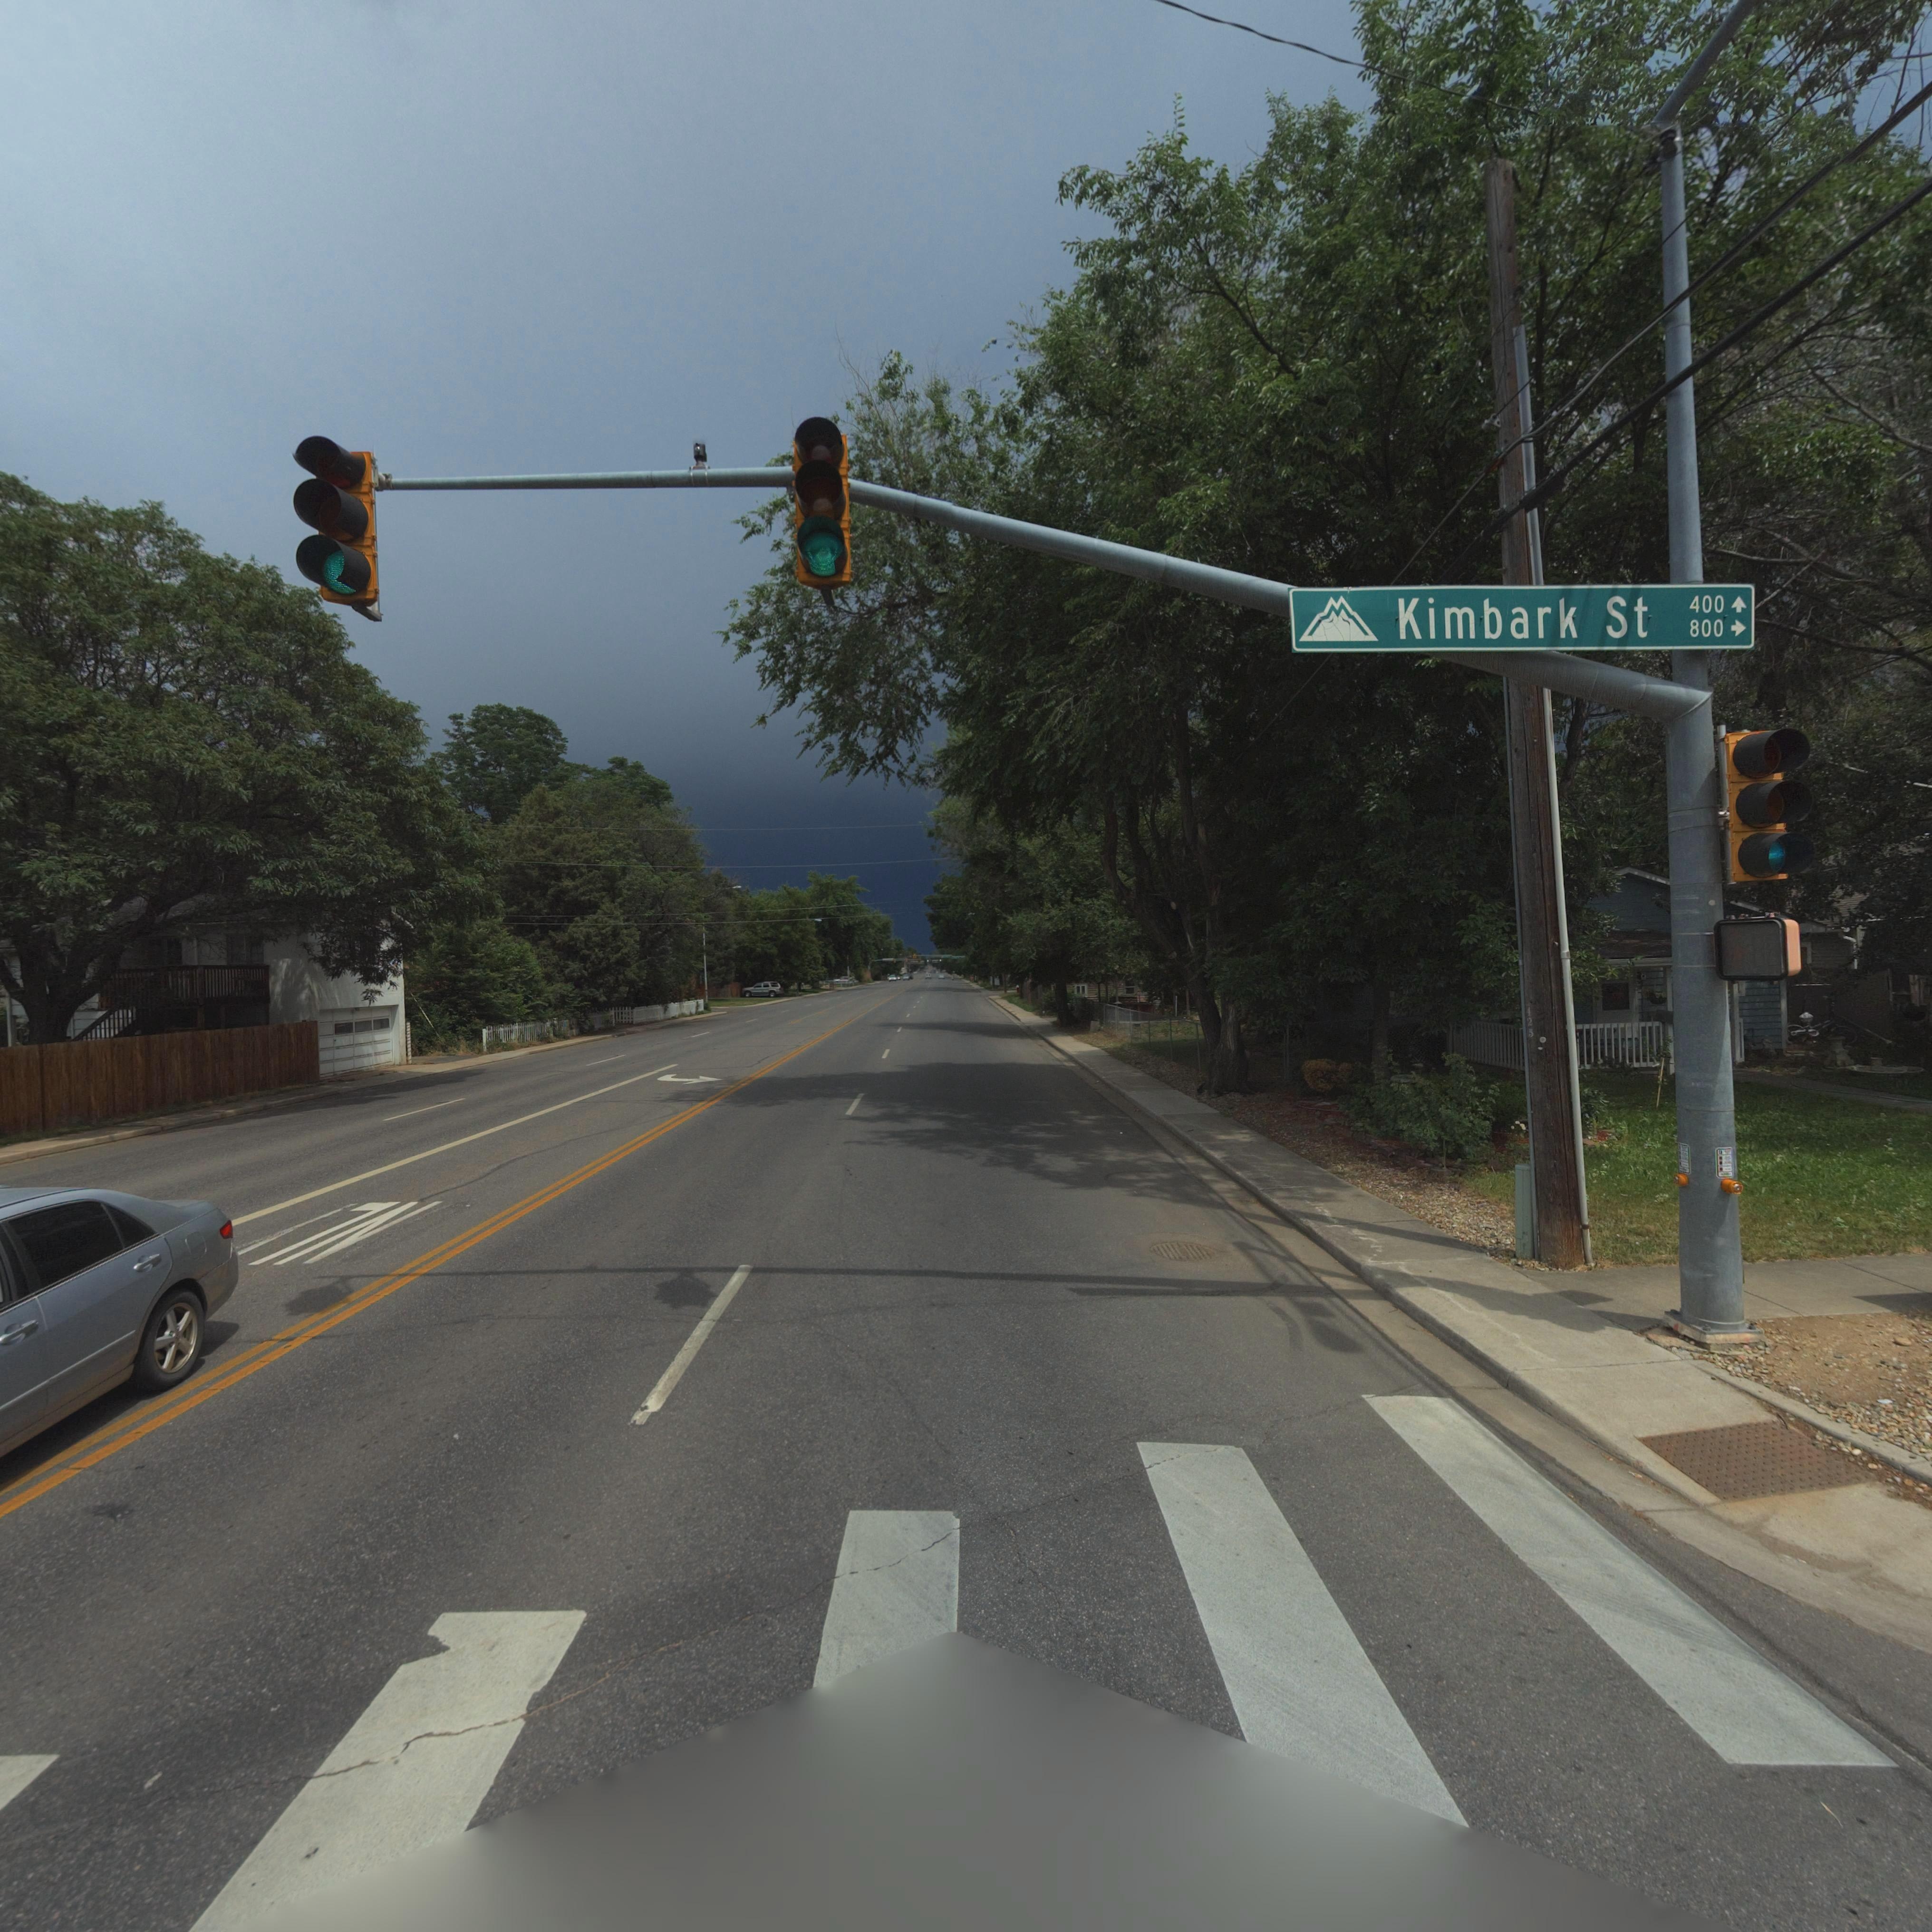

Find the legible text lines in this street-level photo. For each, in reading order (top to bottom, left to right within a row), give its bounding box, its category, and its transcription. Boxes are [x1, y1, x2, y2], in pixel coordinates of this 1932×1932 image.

[1397, 594, 1649, 640] StreetName: Kimbark St
[1689, 594, 1724, 614] StreetNumberRange: 400
[1689, 618, 1747, 638] StreetNumberRange: 800->
[1526, 1006, 1534, 1038] StreetNumber: 425